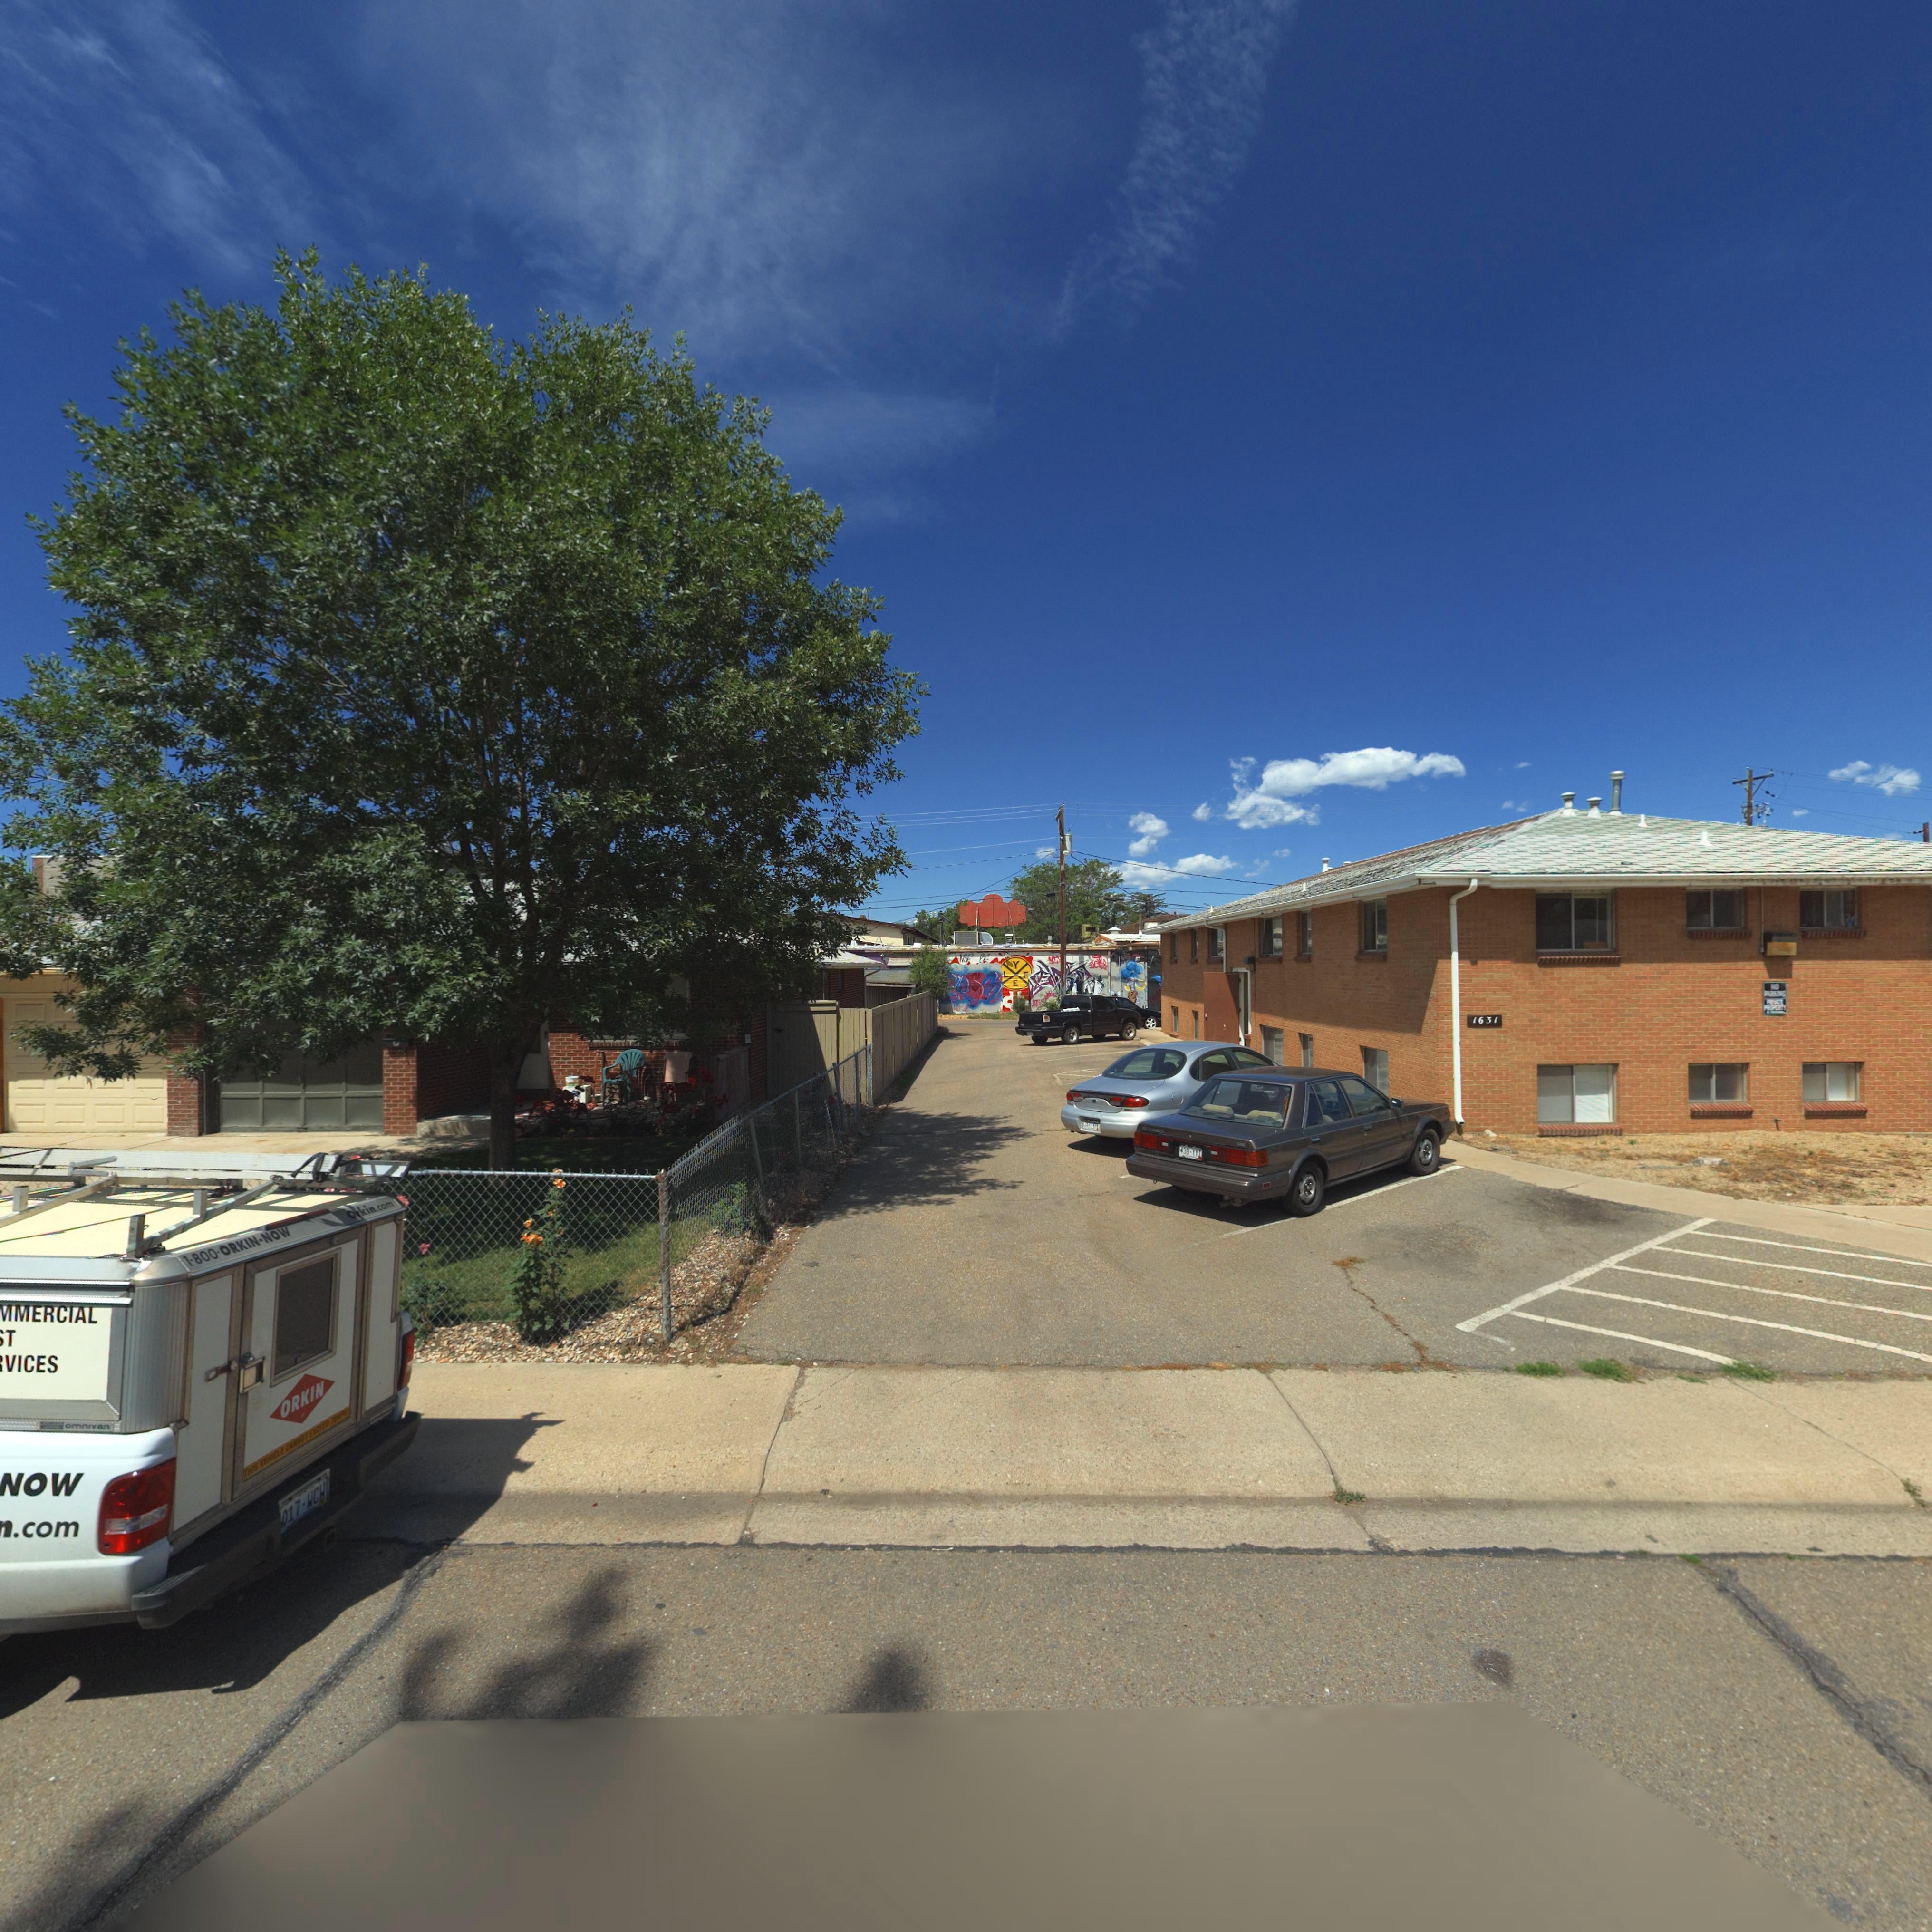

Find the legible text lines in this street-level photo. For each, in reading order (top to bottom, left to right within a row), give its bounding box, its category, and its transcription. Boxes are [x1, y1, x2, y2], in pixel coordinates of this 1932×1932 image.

[1472, 1016, 1498, 1024] StreetNumber: 1631